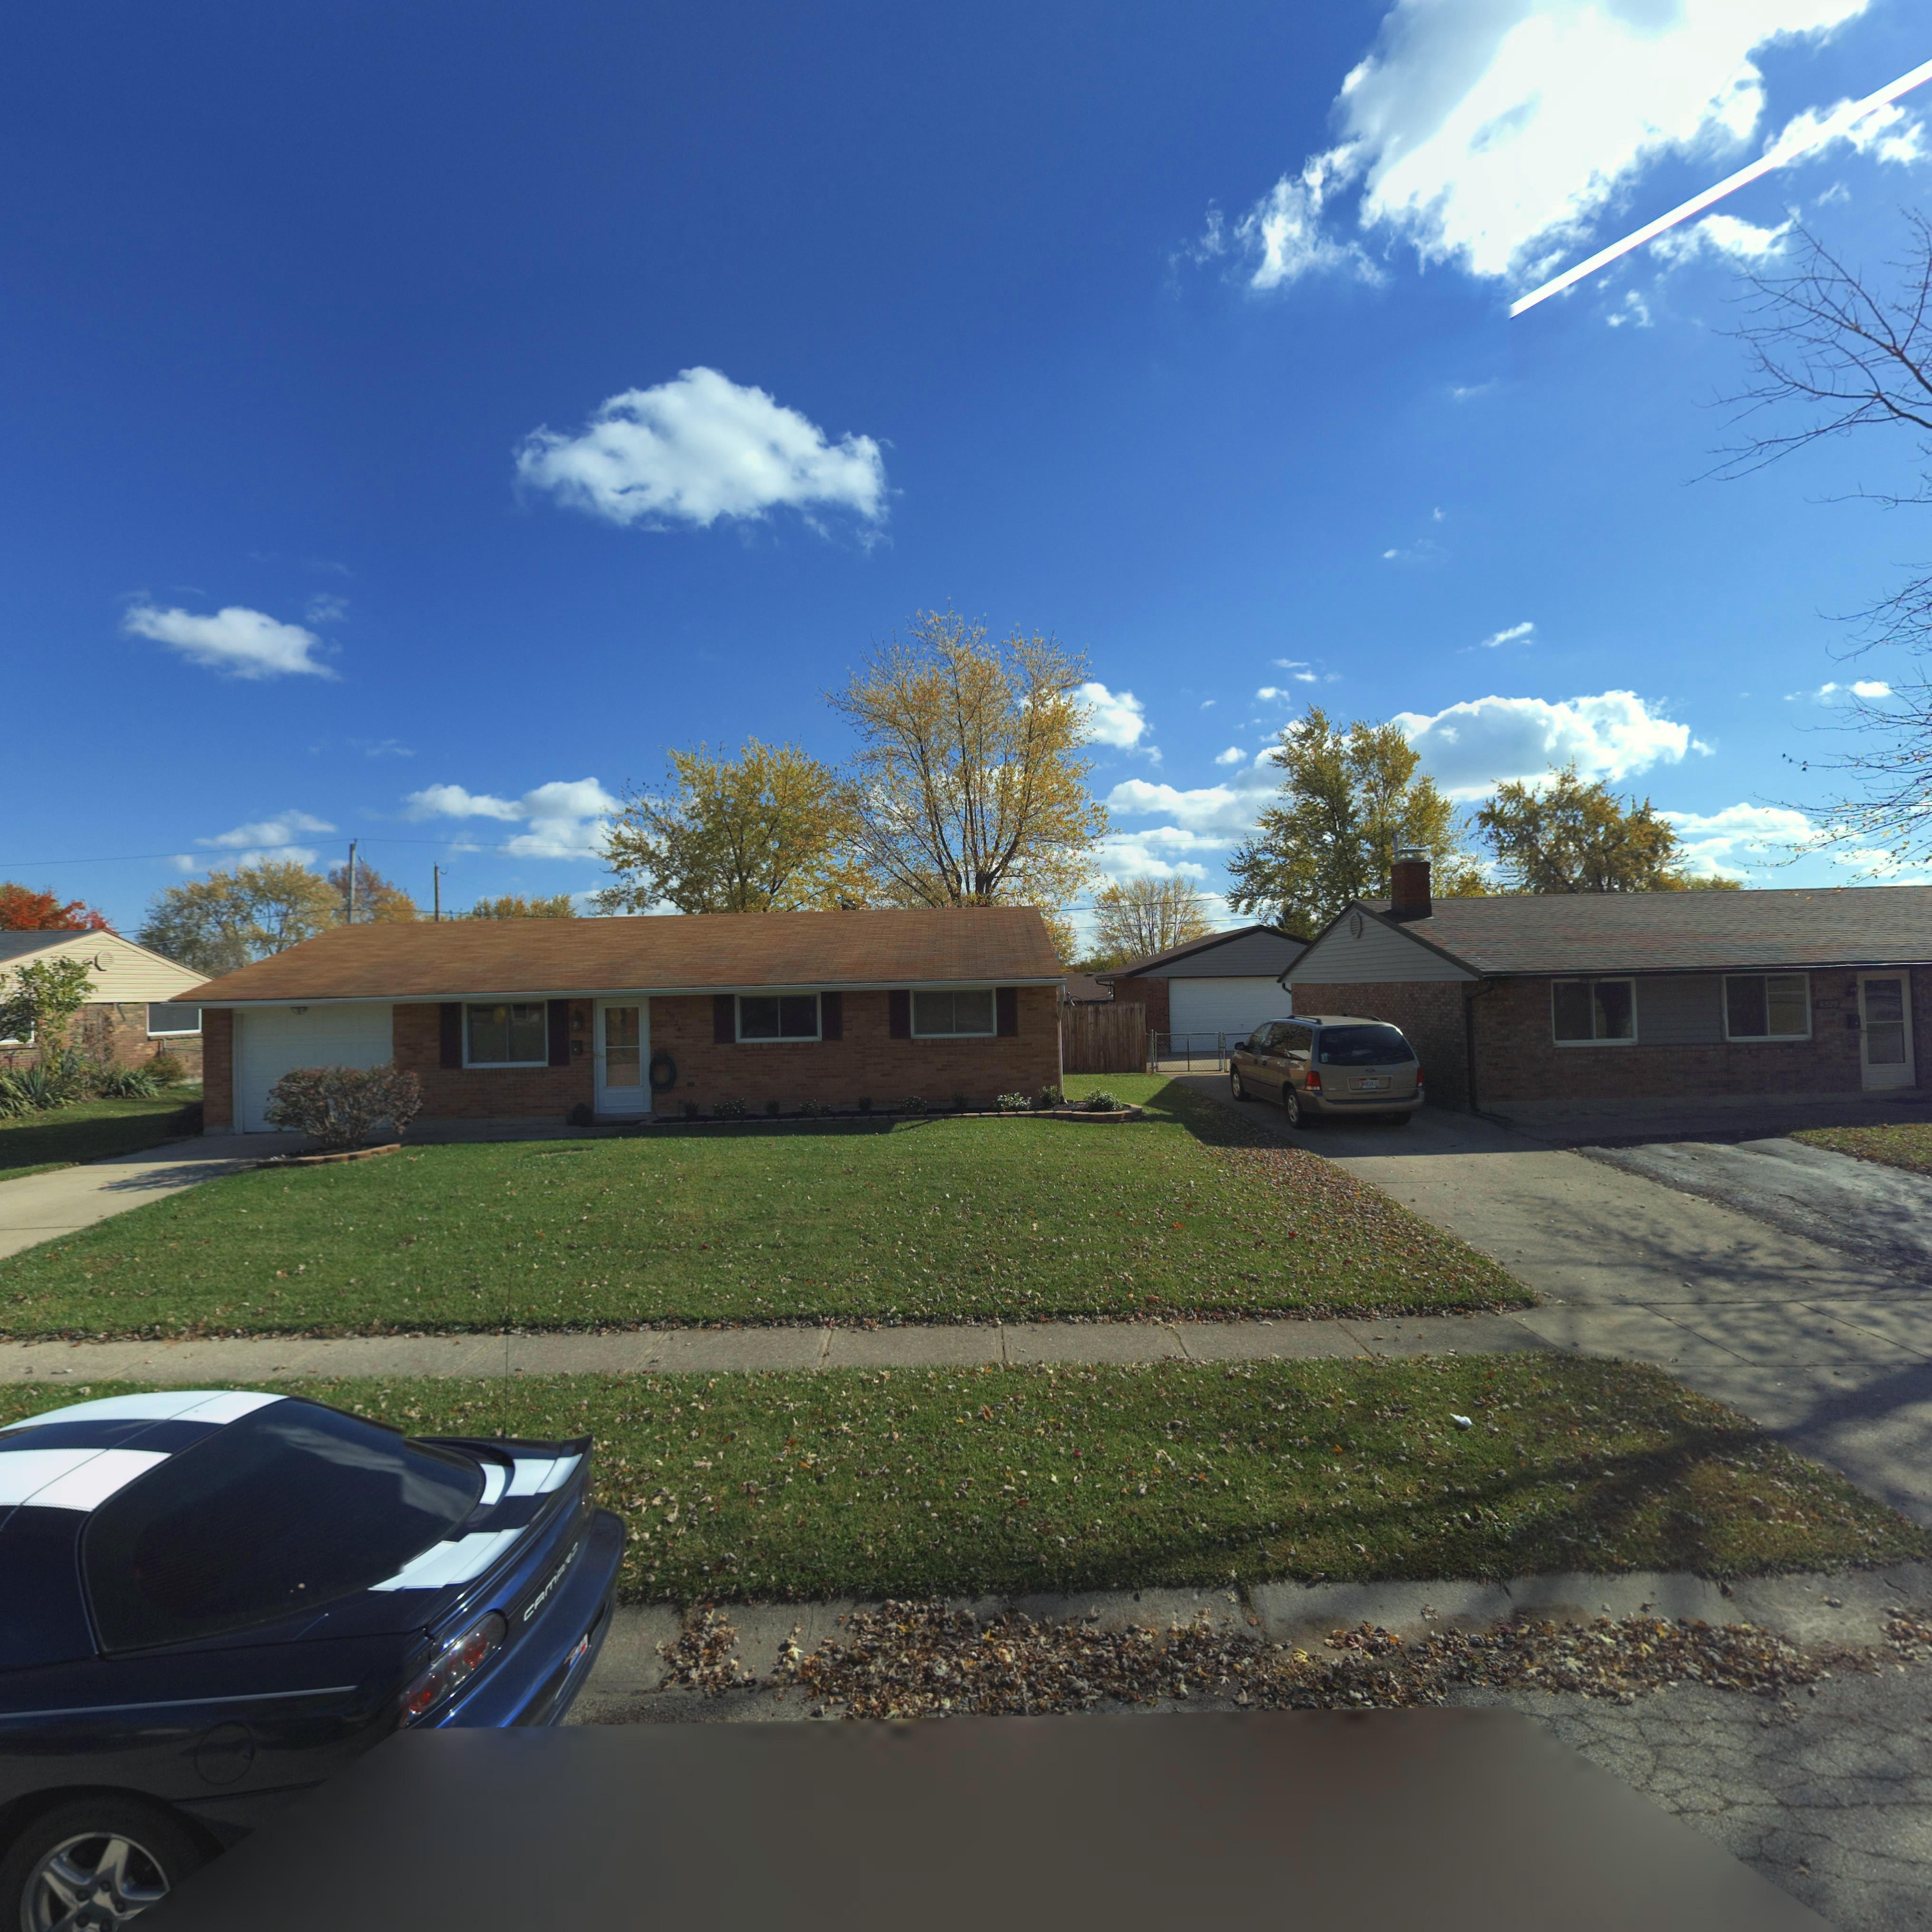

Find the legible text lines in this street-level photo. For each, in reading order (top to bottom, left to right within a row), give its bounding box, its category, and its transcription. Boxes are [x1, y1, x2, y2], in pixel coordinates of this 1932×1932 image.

[1817, 999, 1839, 1009] StreetNumber: 692*
[664, 1006, 683, 1034] StreetNumber: 6924